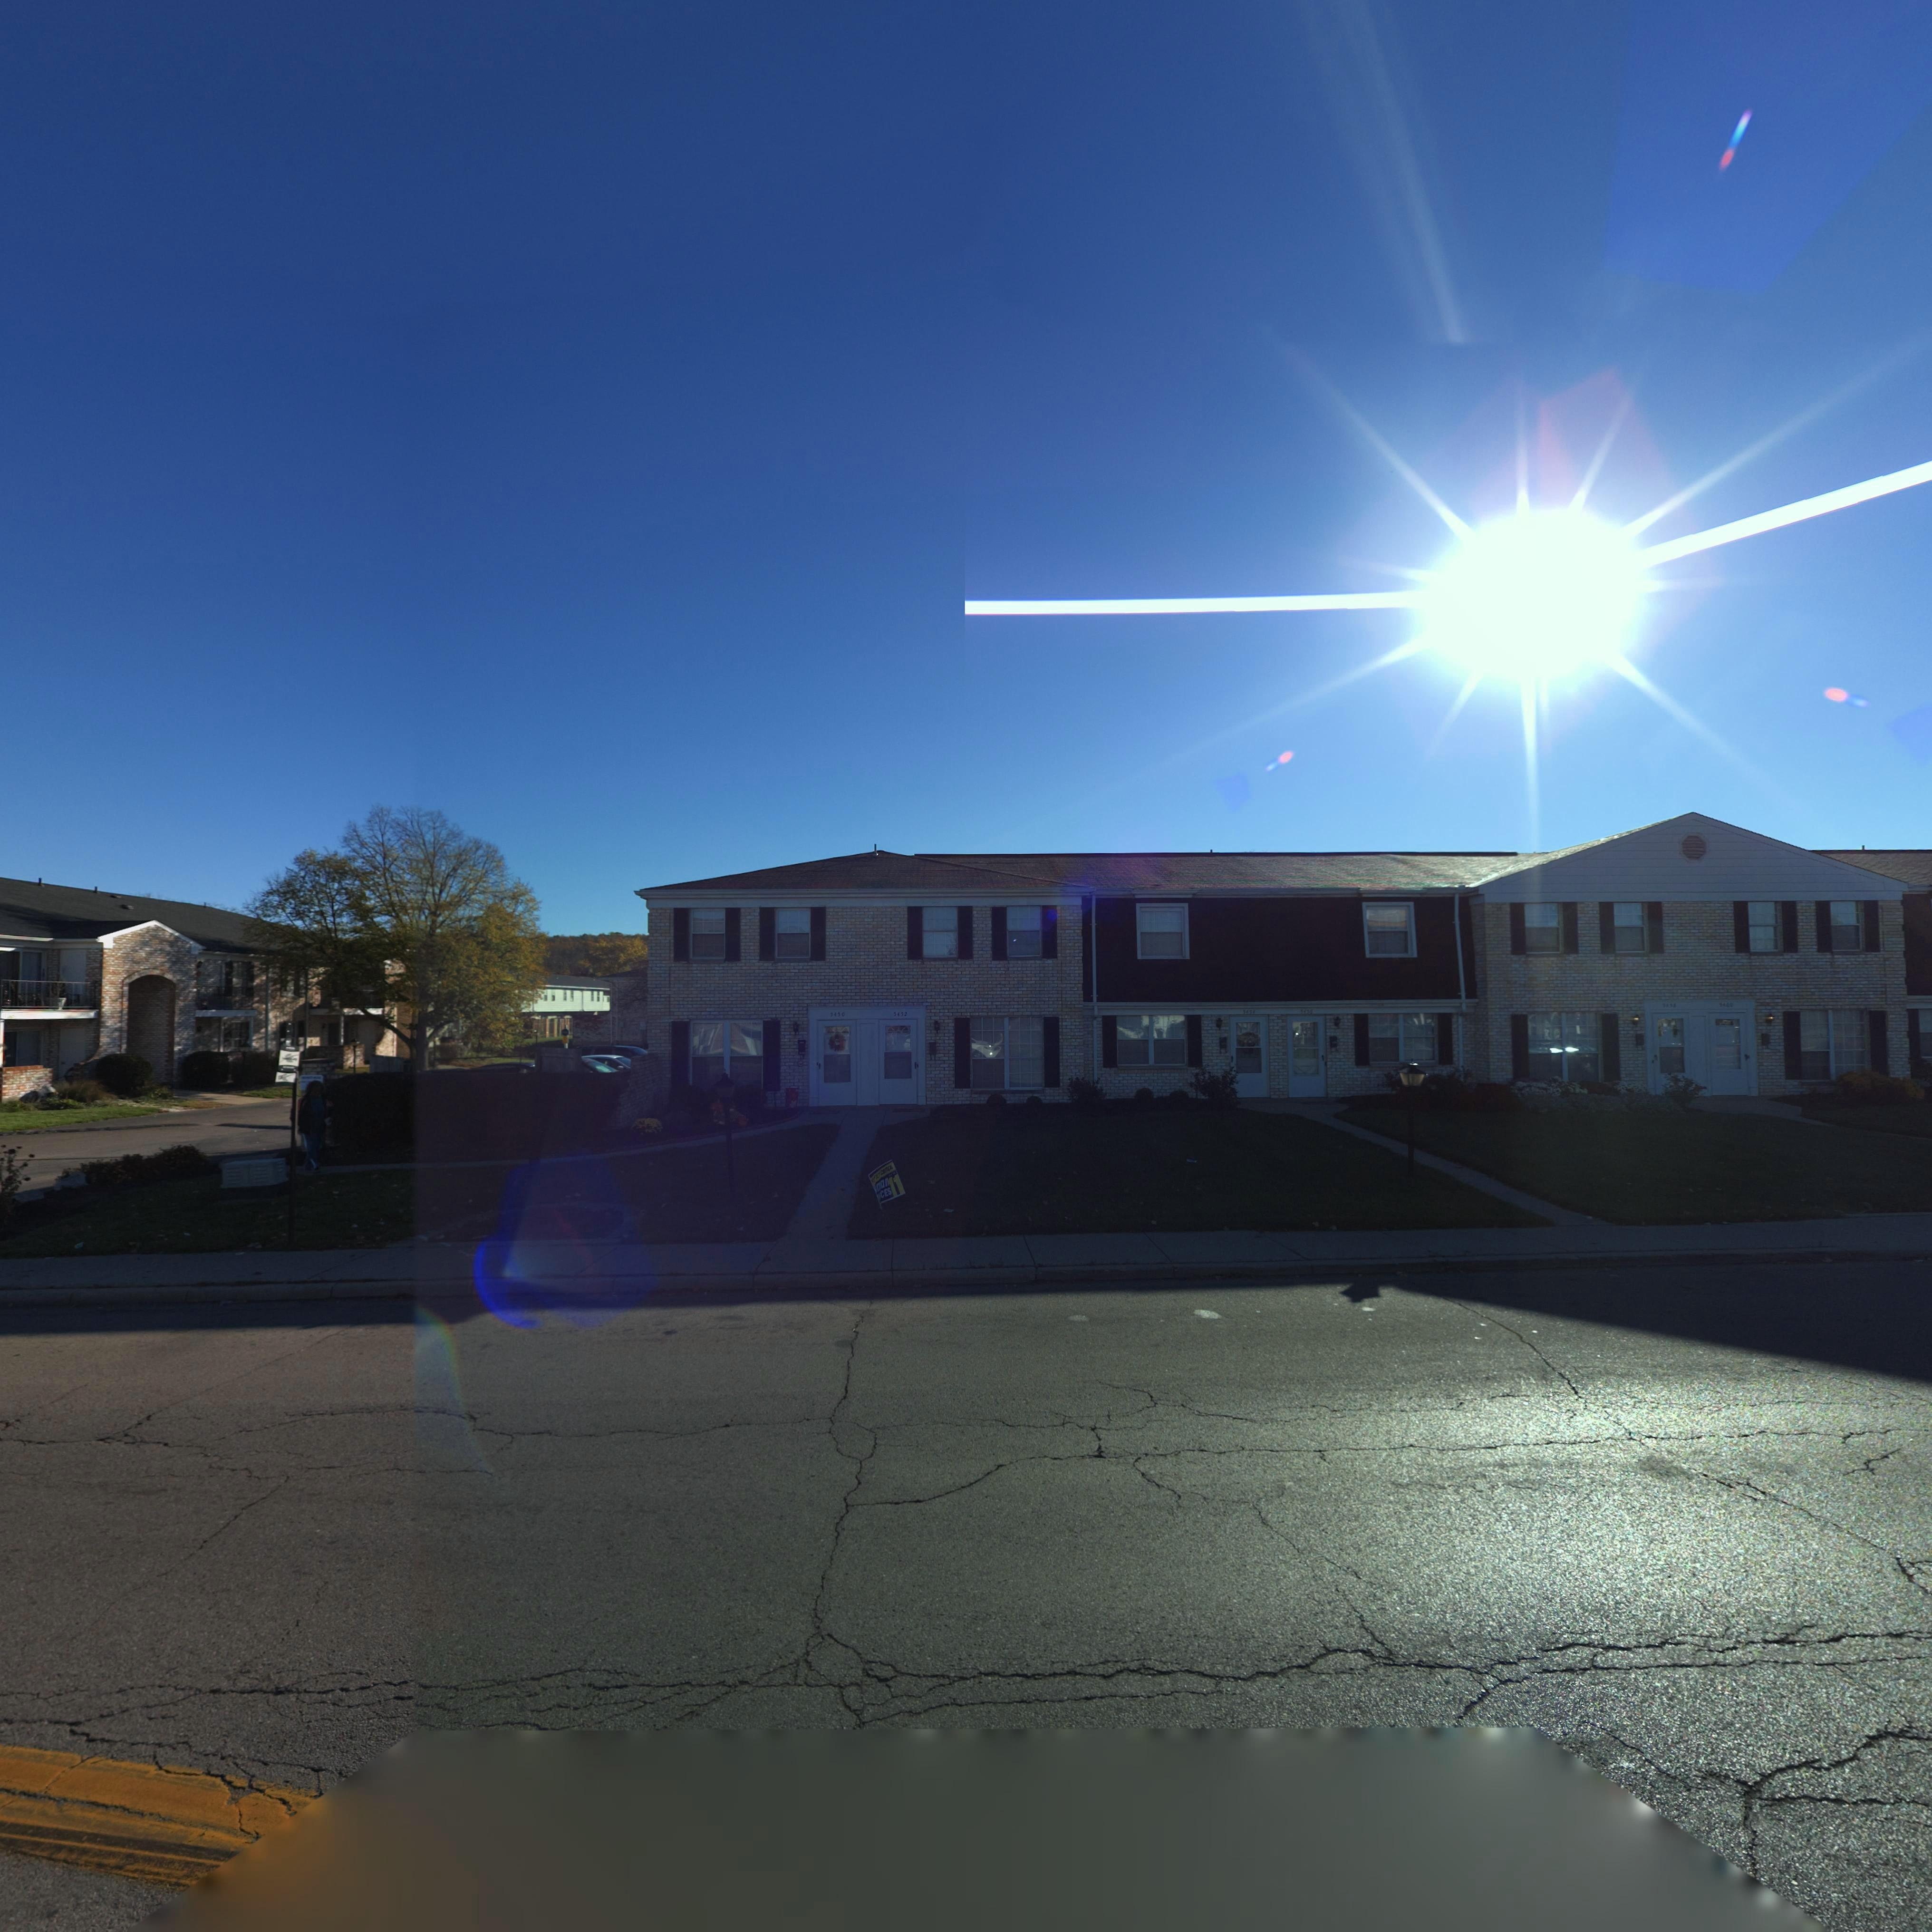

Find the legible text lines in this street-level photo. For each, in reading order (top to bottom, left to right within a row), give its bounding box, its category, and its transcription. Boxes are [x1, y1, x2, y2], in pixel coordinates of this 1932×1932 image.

[1718, 1001, 1734, 1008] StreetNumber: 54**
[830, 1011, 845, 1017] StreetNumber: 5450
[893, 1011, 908, 1017] StreetNumber: 5452
[1242, 1009, 1256, 1015] StreetNumber: 5454
[1300, 1009, 1314, 1015] StreetNumber: 54**